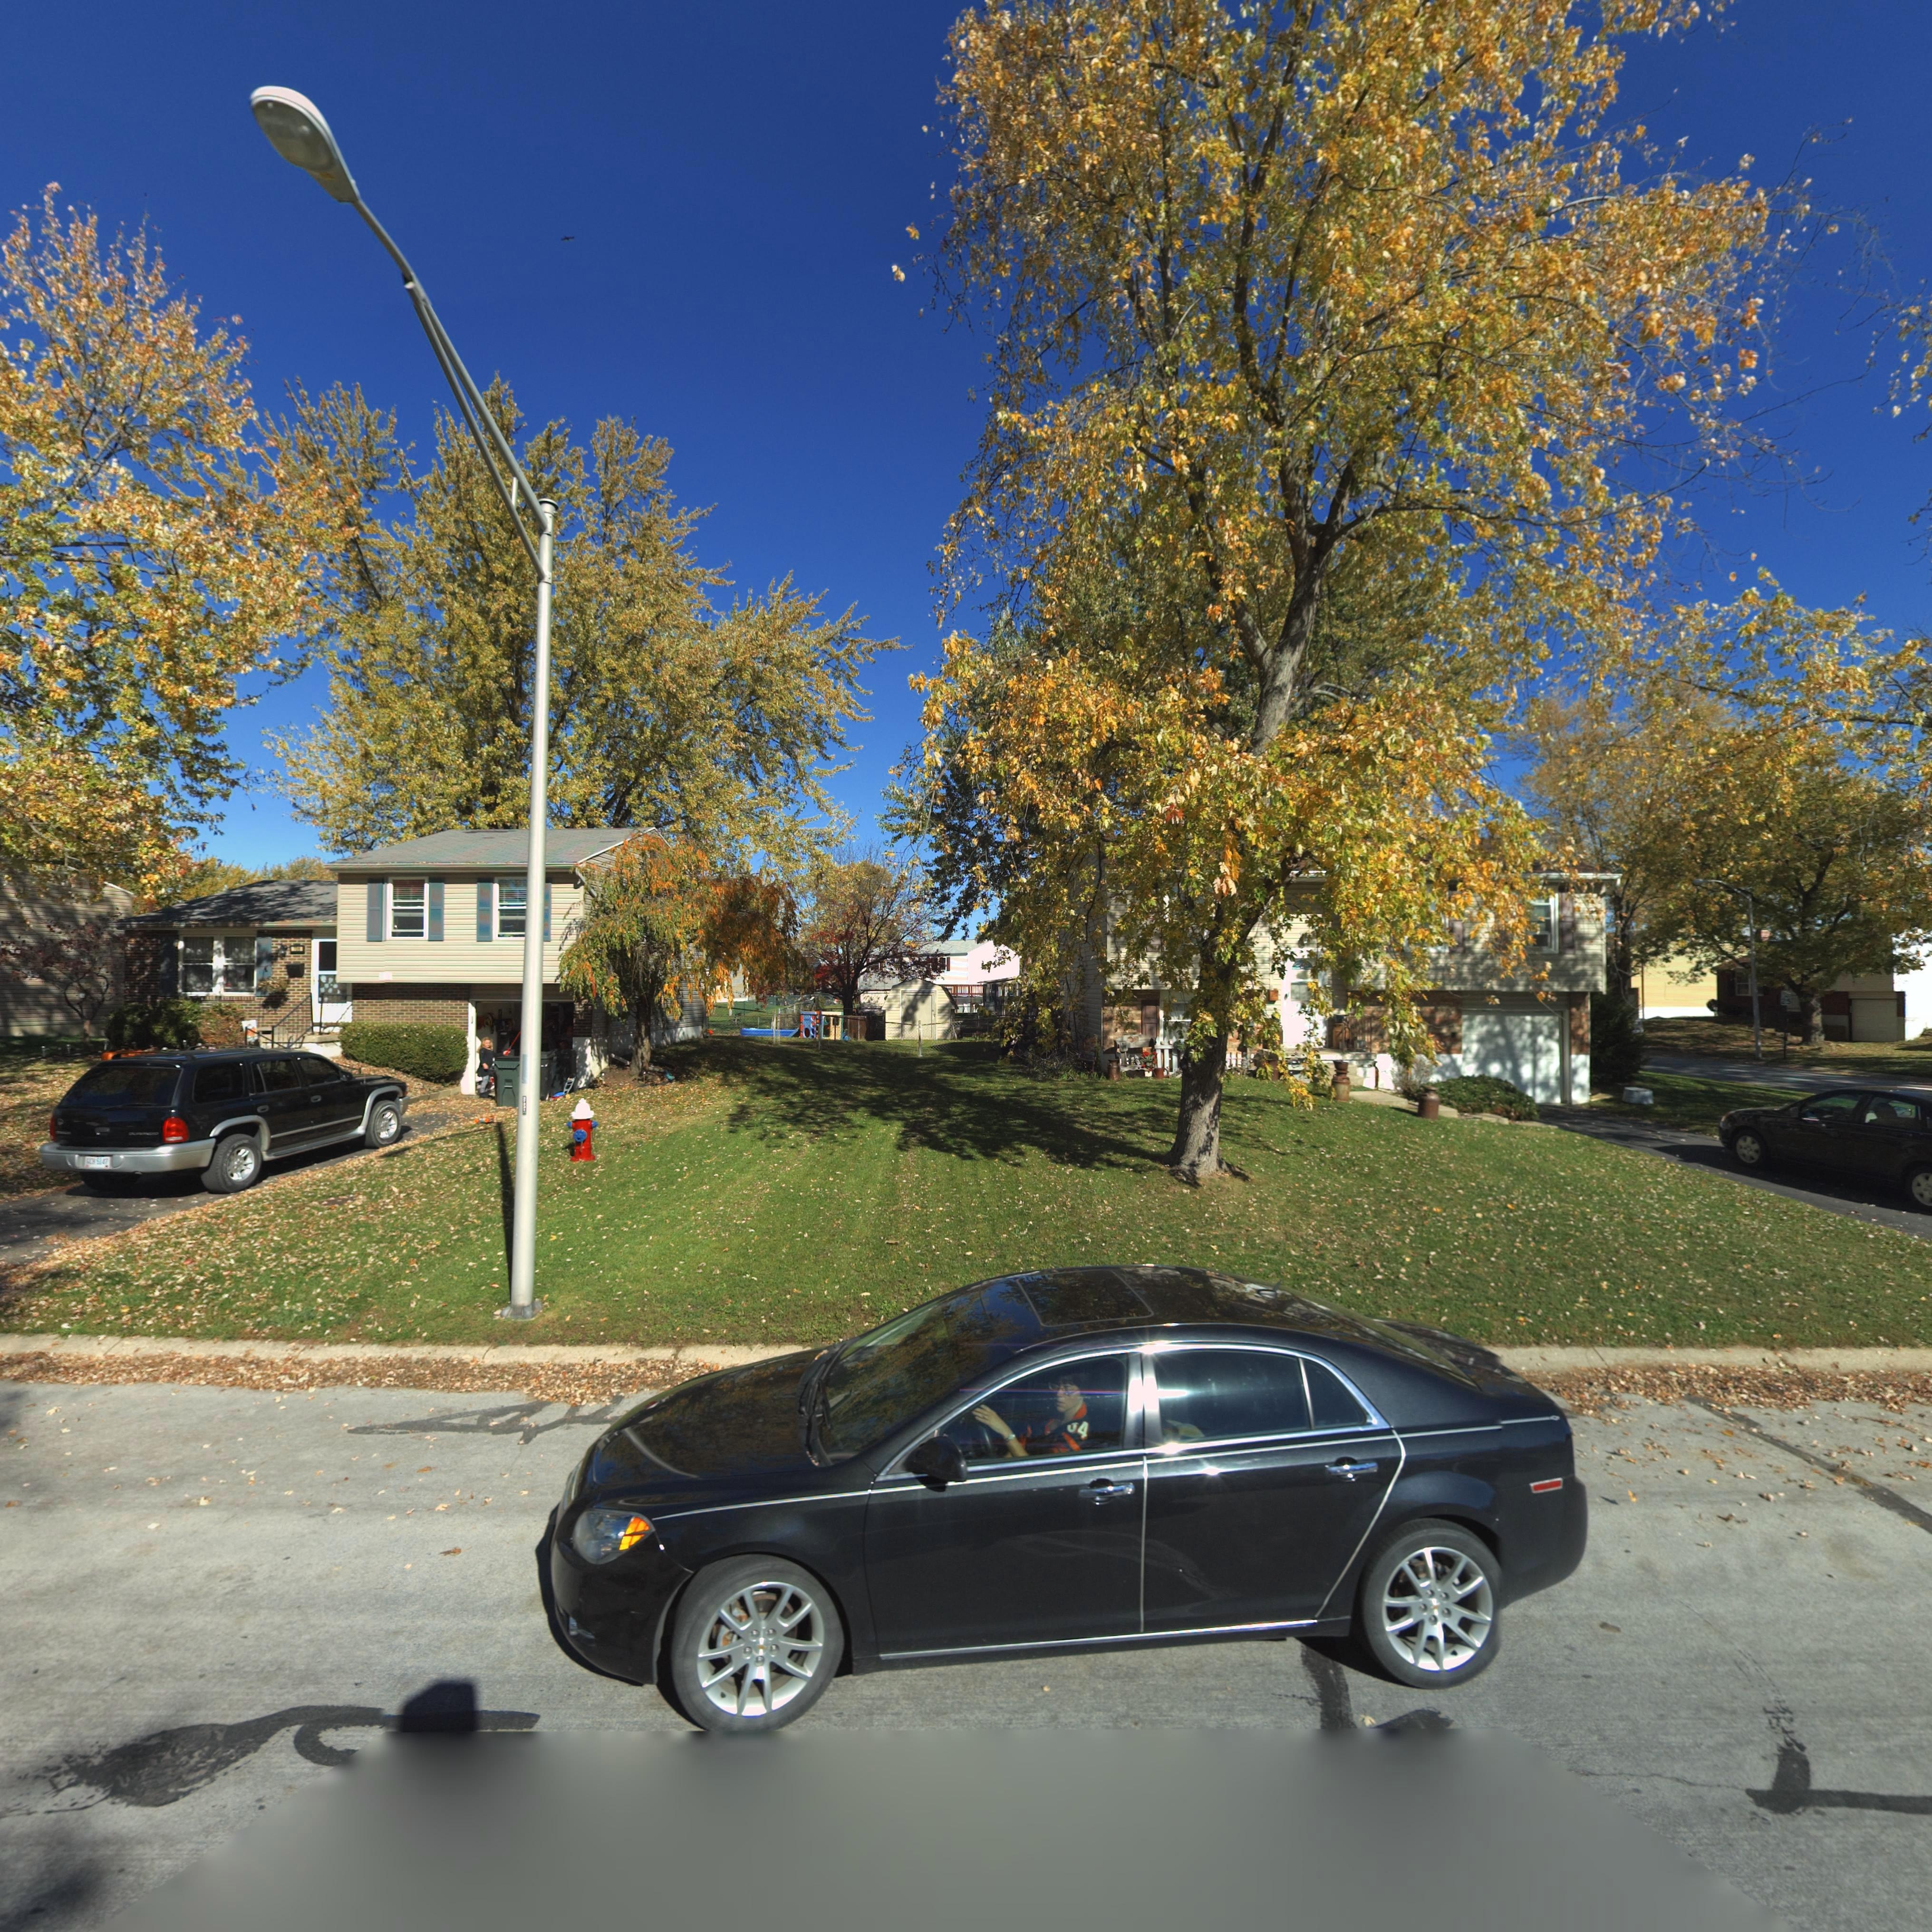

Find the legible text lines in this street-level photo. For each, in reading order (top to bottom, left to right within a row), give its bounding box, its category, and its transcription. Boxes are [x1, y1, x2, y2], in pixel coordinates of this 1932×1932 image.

[293, 947, 301, 951] StreetNumber: 706